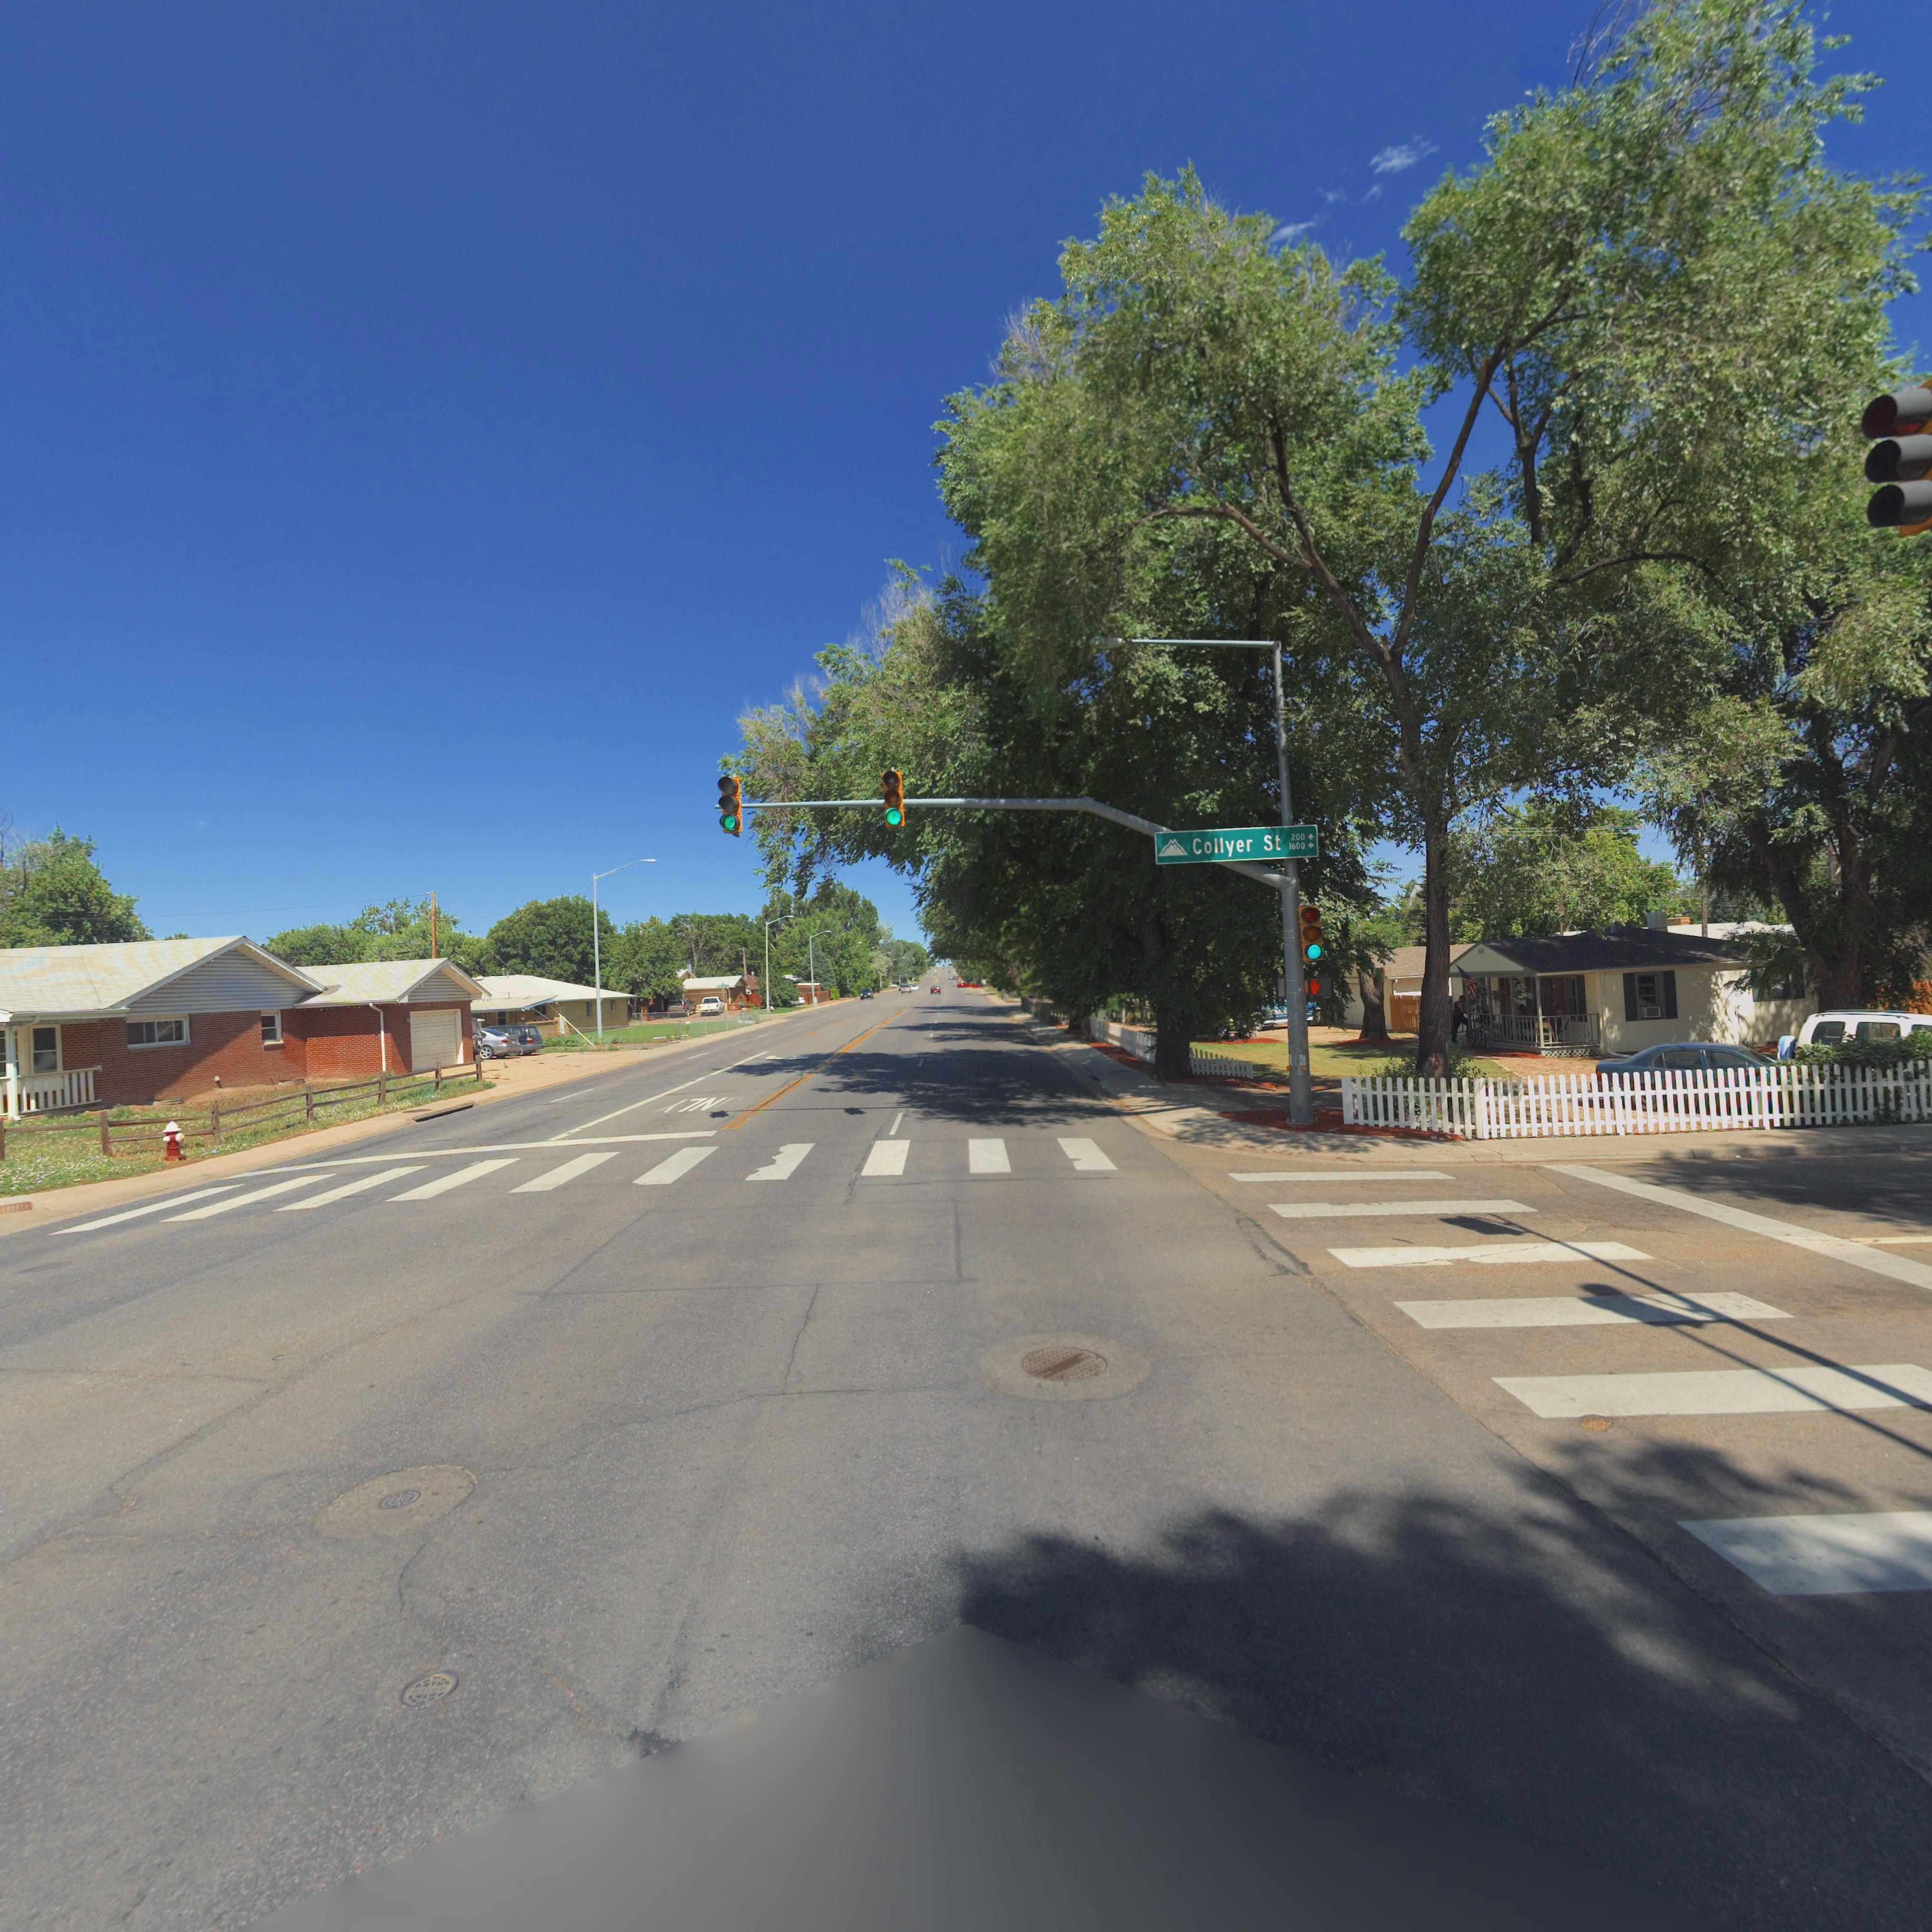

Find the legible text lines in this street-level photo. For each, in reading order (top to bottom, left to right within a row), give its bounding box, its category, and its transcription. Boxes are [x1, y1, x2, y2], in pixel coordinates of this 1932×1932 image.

[1291, 833, 1305, 840] StreetNumberRange: 200
[1192, 834, 1281, 857] StreetName: Collyer St
[1288, 841, 1314, 850] StreetNumberRange: 1600->